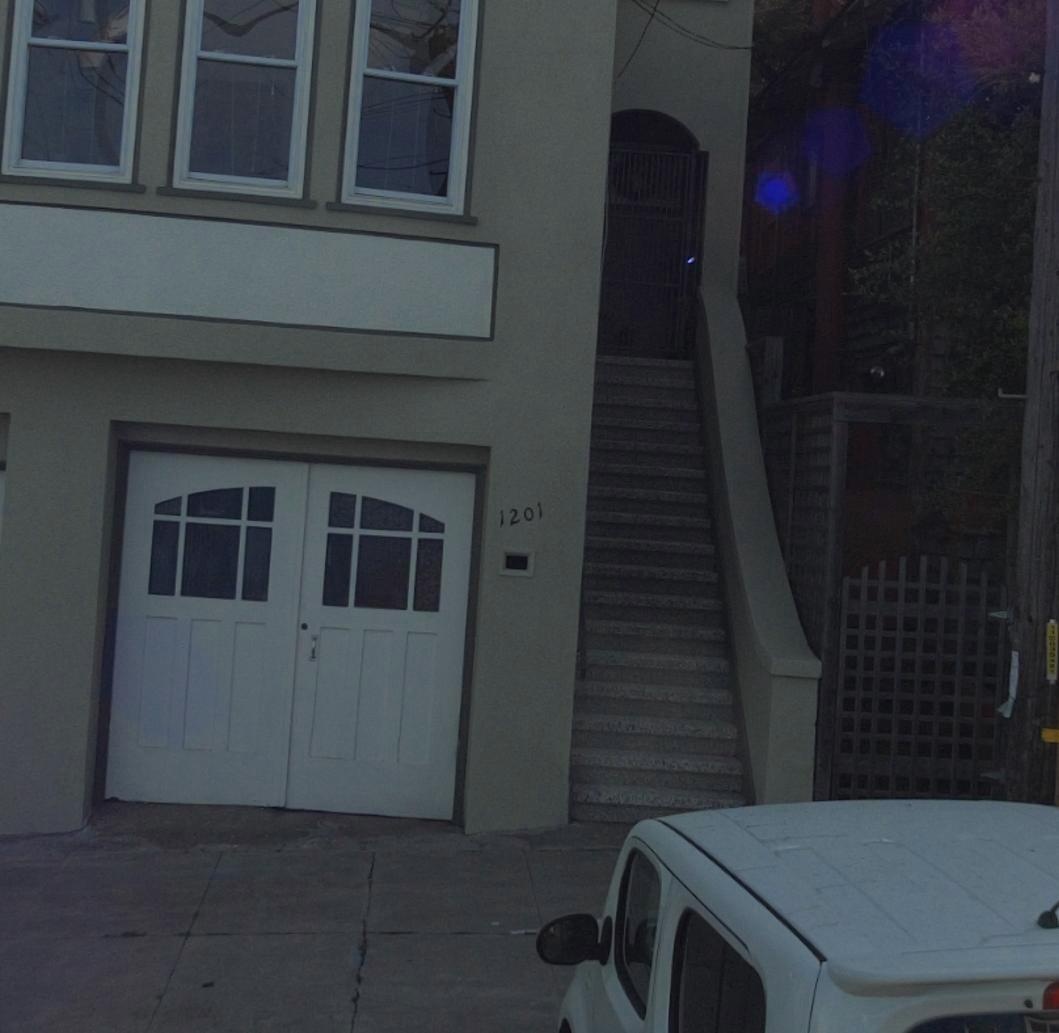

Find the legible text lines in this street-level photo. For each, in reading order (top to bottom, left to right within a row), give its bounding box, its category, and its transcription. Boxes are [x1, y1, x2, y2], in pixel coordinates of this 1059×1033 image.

[499, 500, 545, 529] StreetNumber: 1201